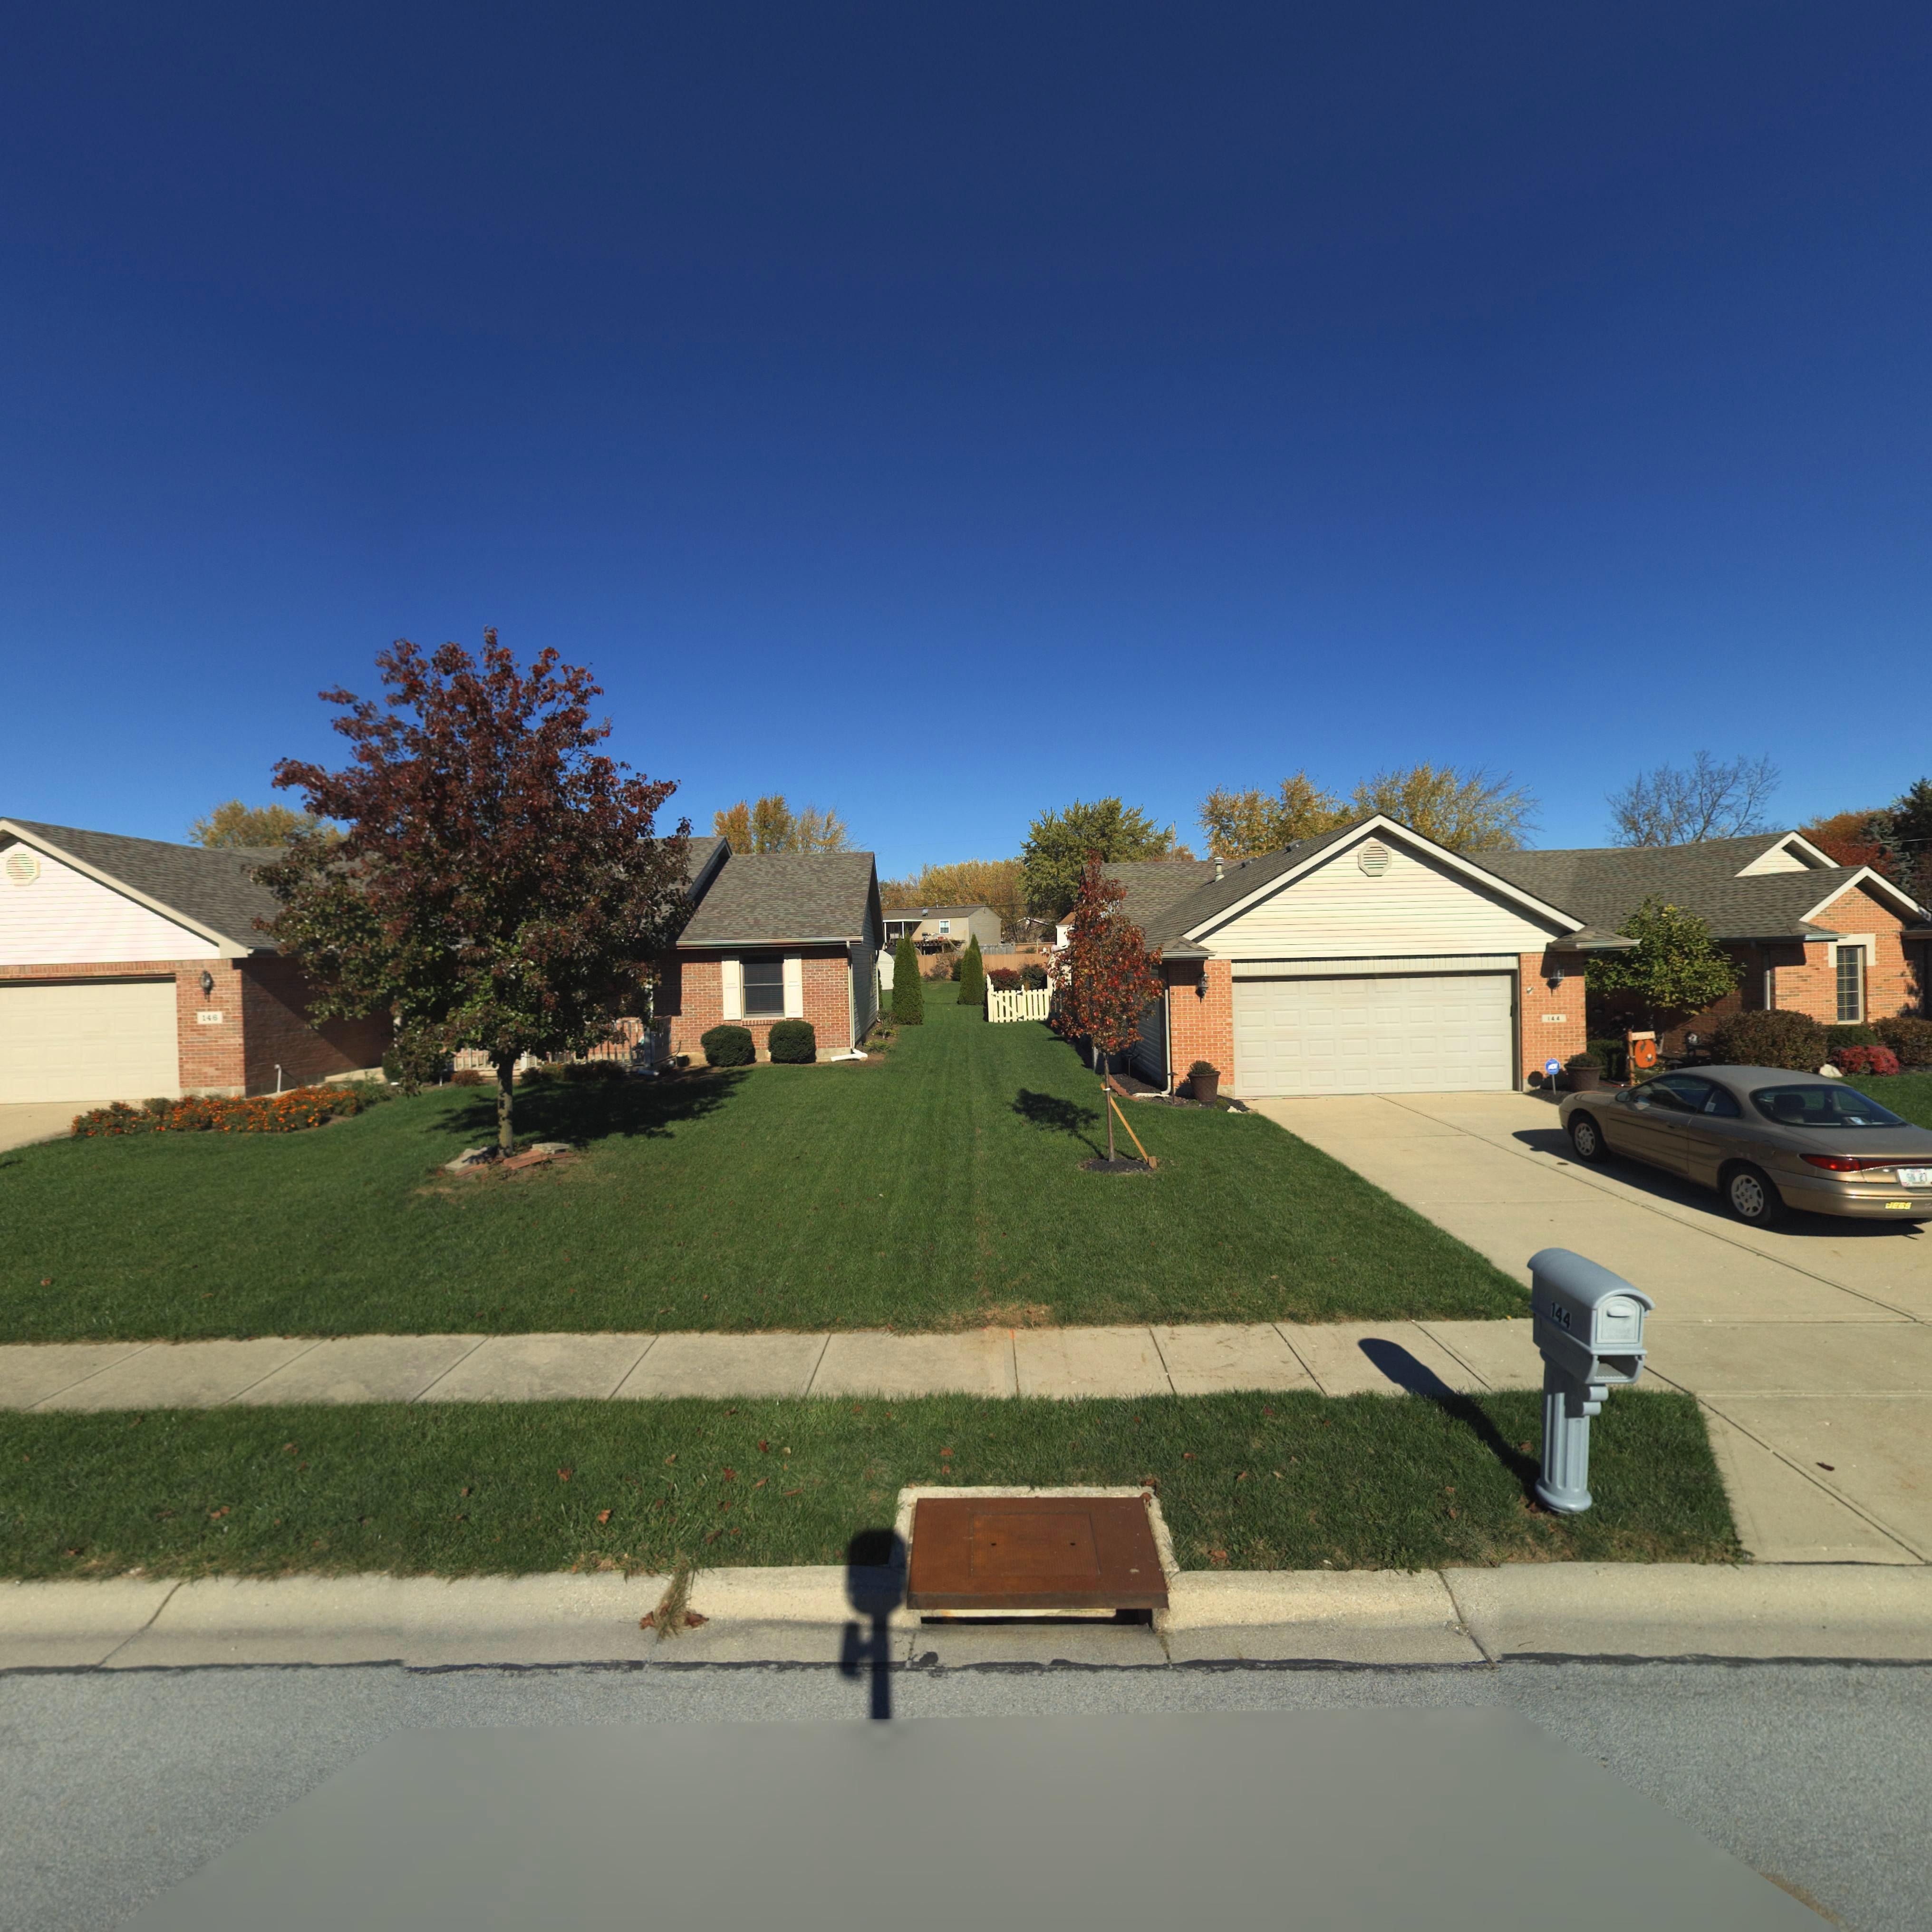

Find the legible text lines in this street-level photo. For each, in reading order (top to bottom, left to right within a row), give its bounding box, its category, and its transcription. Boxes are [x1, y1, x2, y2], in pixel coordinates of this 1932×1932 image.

[202, 1014, 218, 1022] StreetNumber: 146
[1547, 1015, 1560, 1021] StreetNumber: 144
[1550, 1300, 1572, 1330] StreetNumber: 144